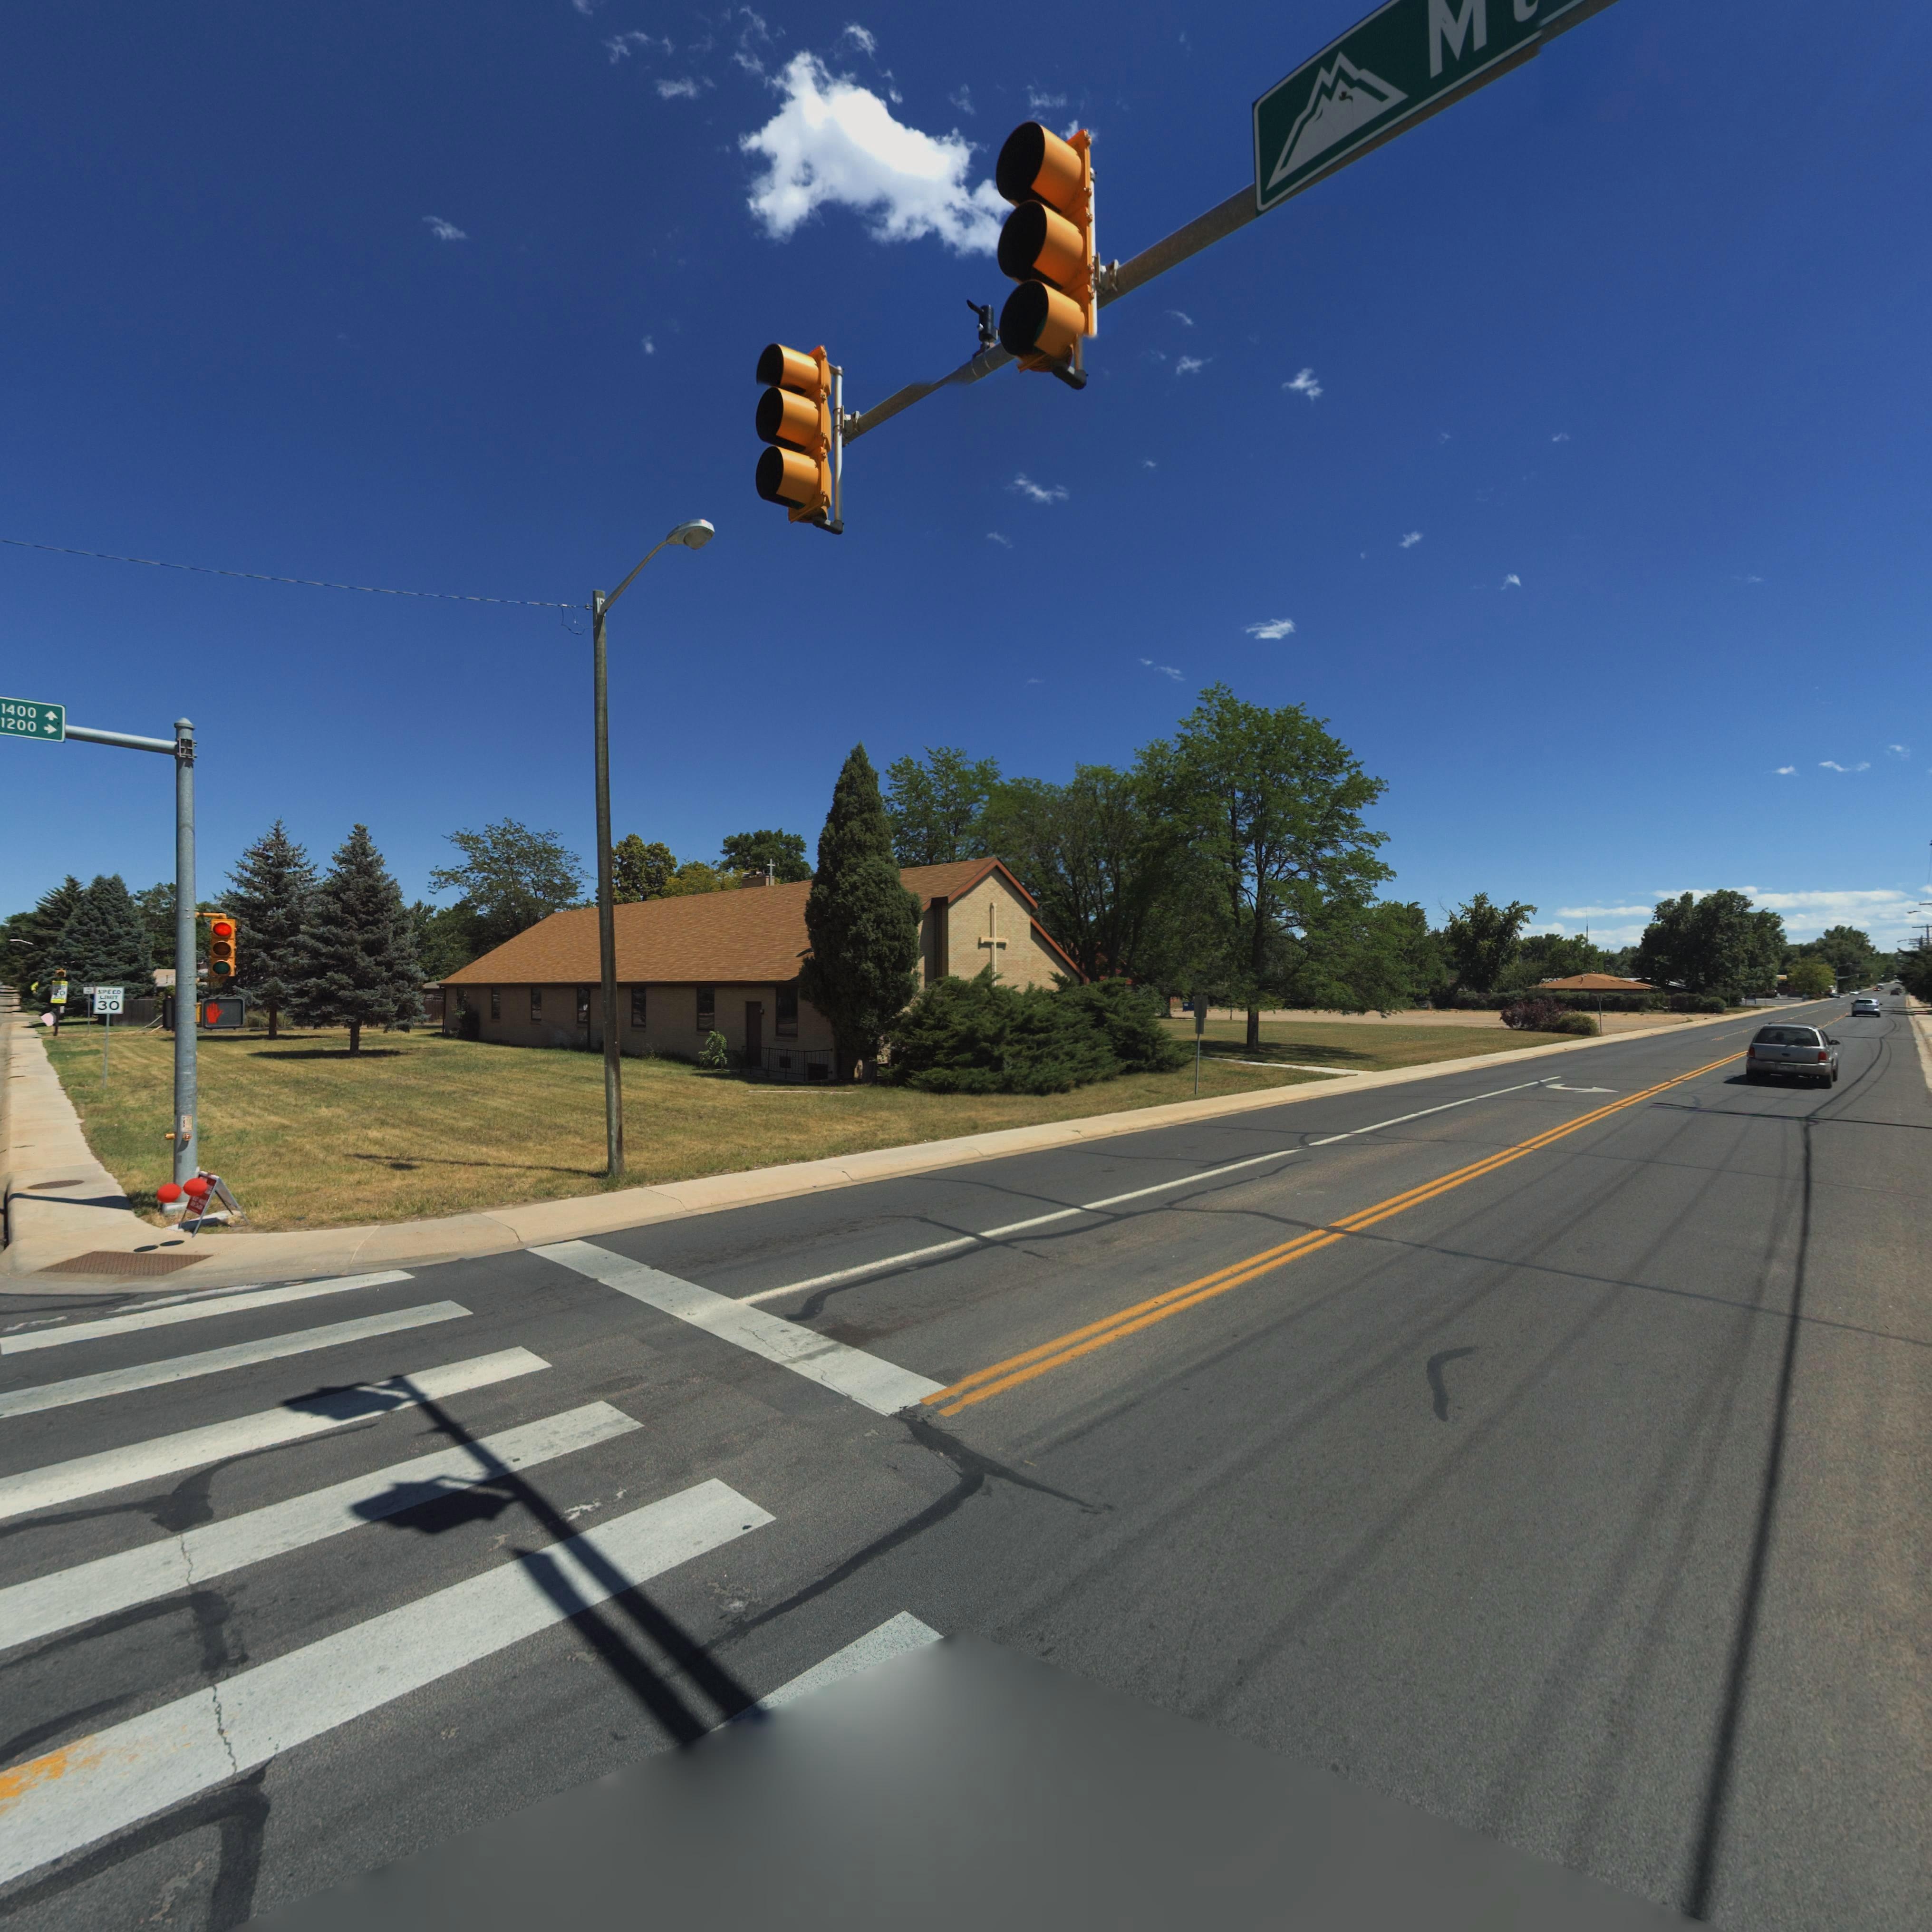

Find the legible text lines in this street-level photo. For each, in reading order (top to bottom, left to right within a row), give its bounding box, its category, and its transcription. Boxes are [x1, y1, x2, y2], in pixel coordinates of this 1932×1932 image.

[1, 703, 37, 718] StreetName: 1400
[0, 717, 58, 734] StreetNumberRange: 1200->